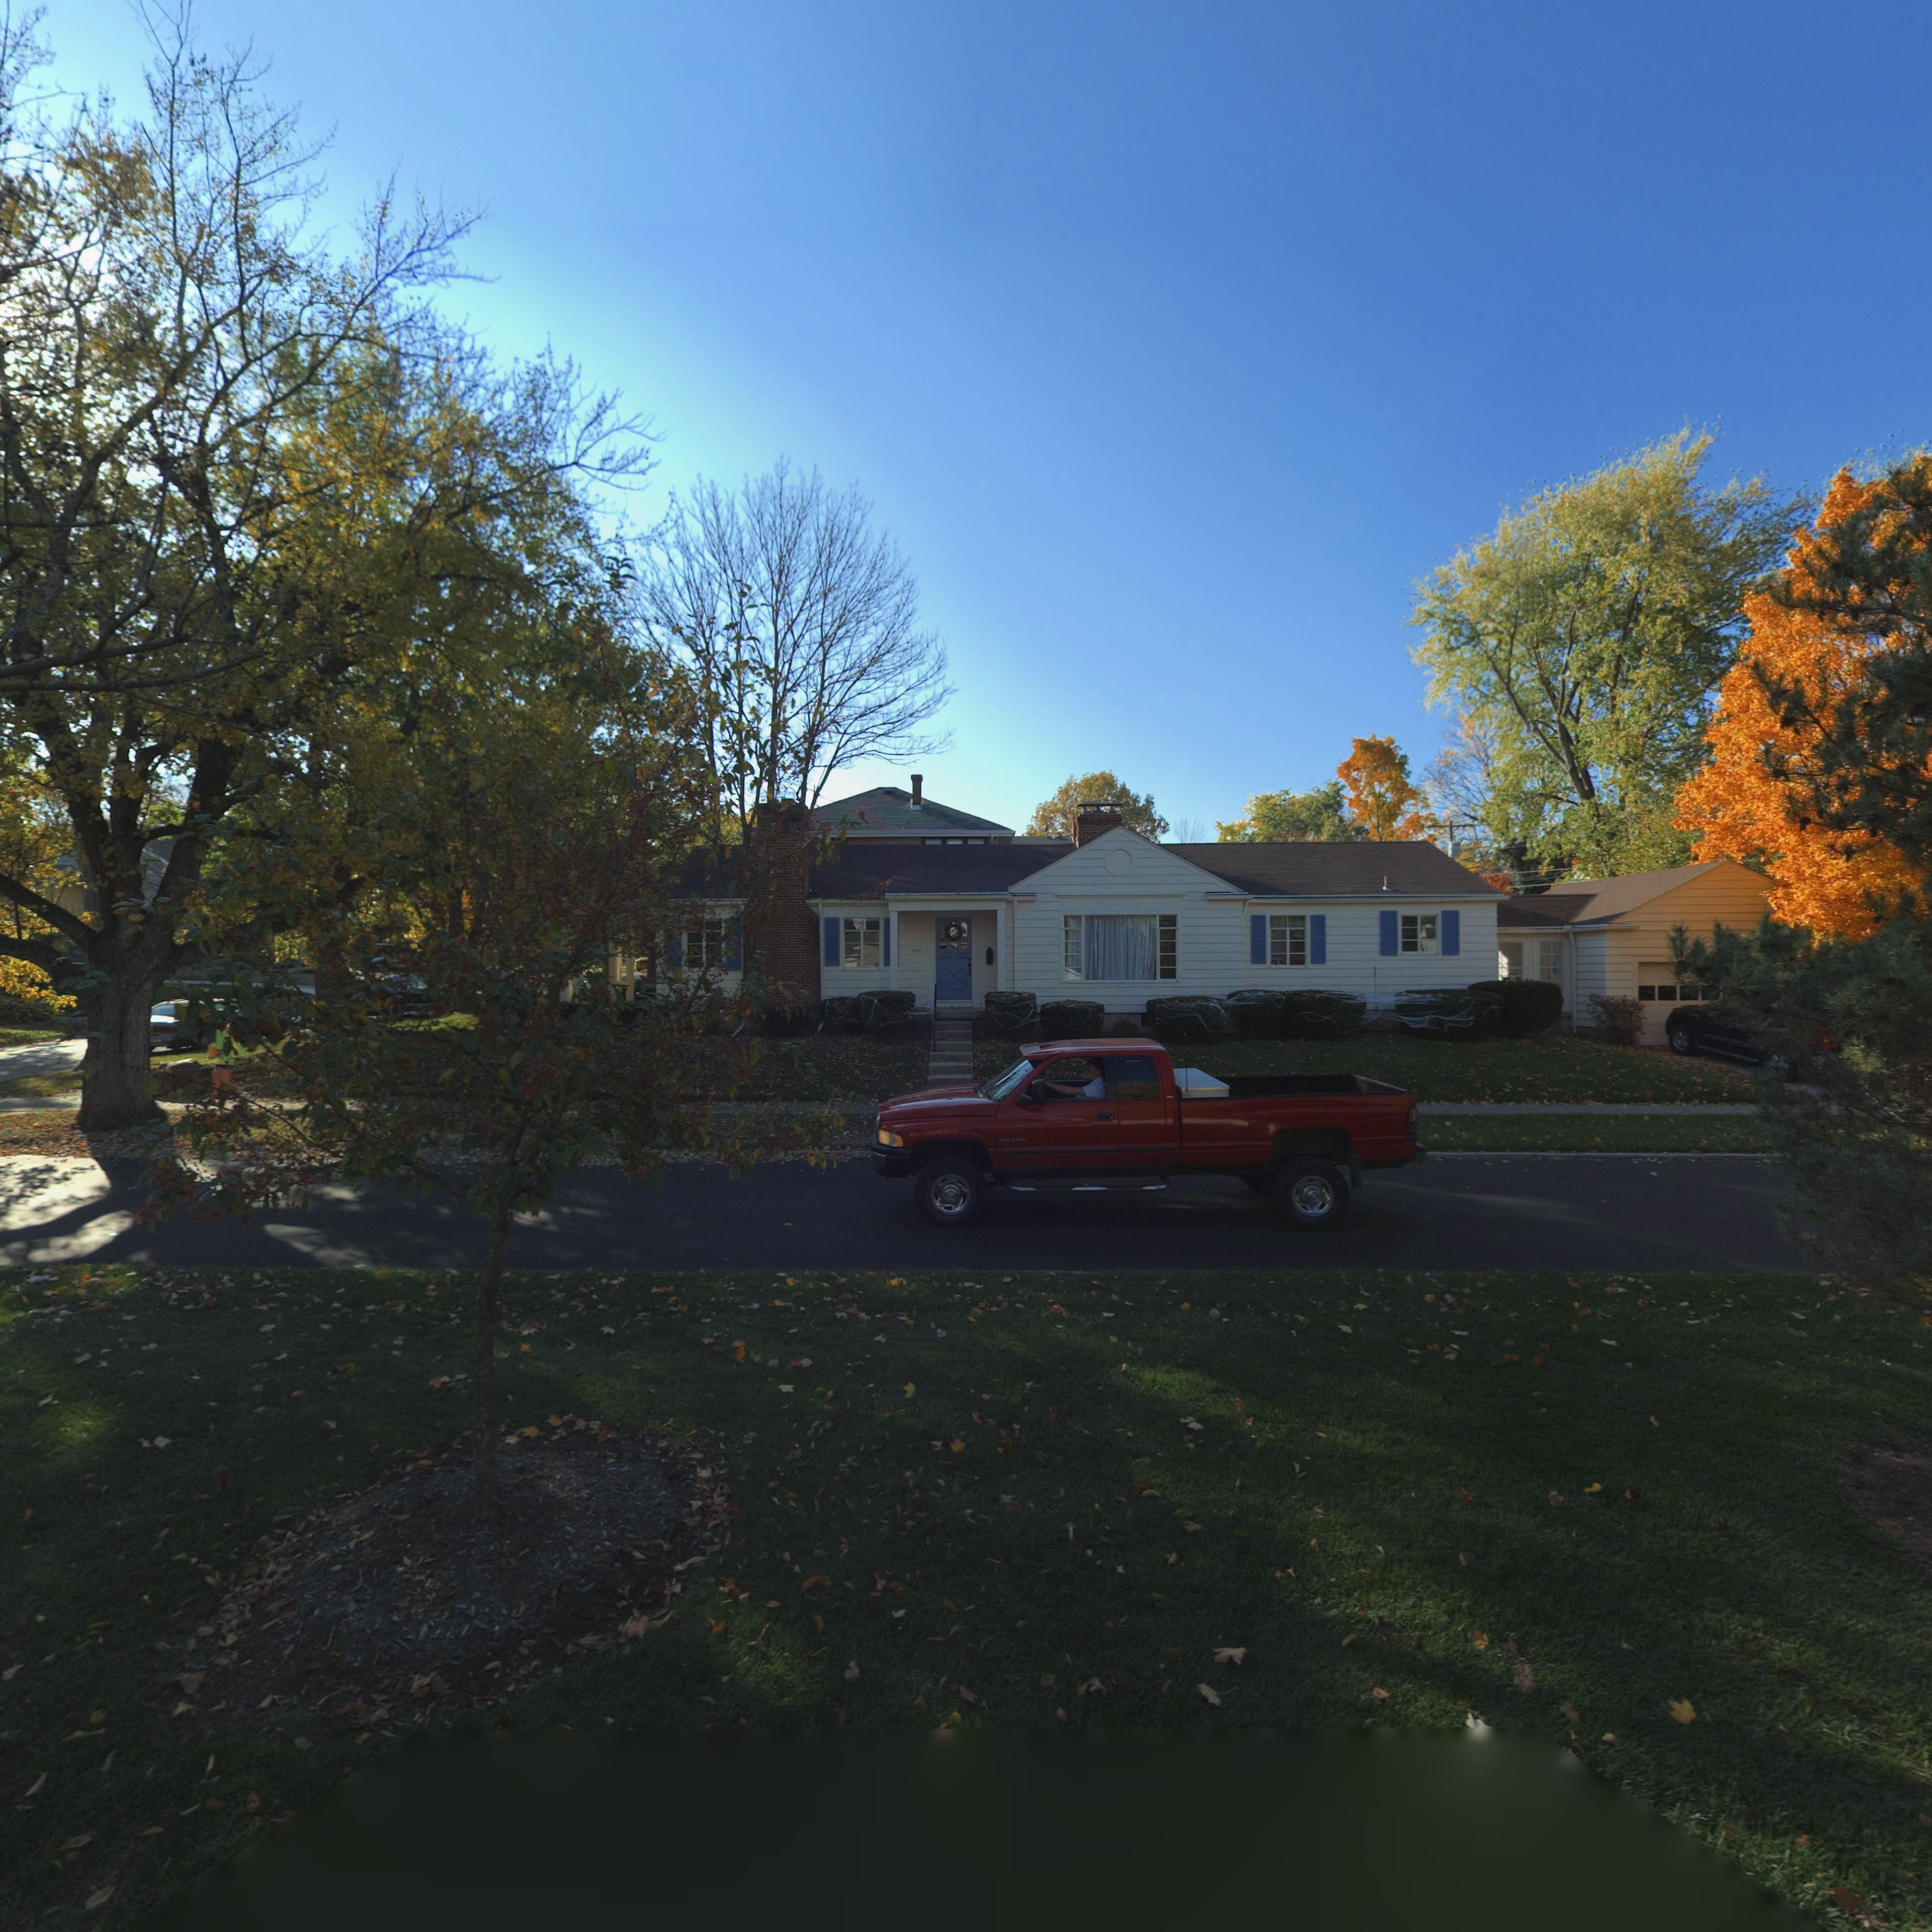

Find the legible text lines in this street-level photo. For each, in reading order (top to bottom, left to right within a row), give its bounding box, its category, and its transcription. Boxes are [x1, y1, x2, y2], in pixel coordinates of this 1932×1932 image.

[912, 947, 922, 953] StreetNumber: 1921